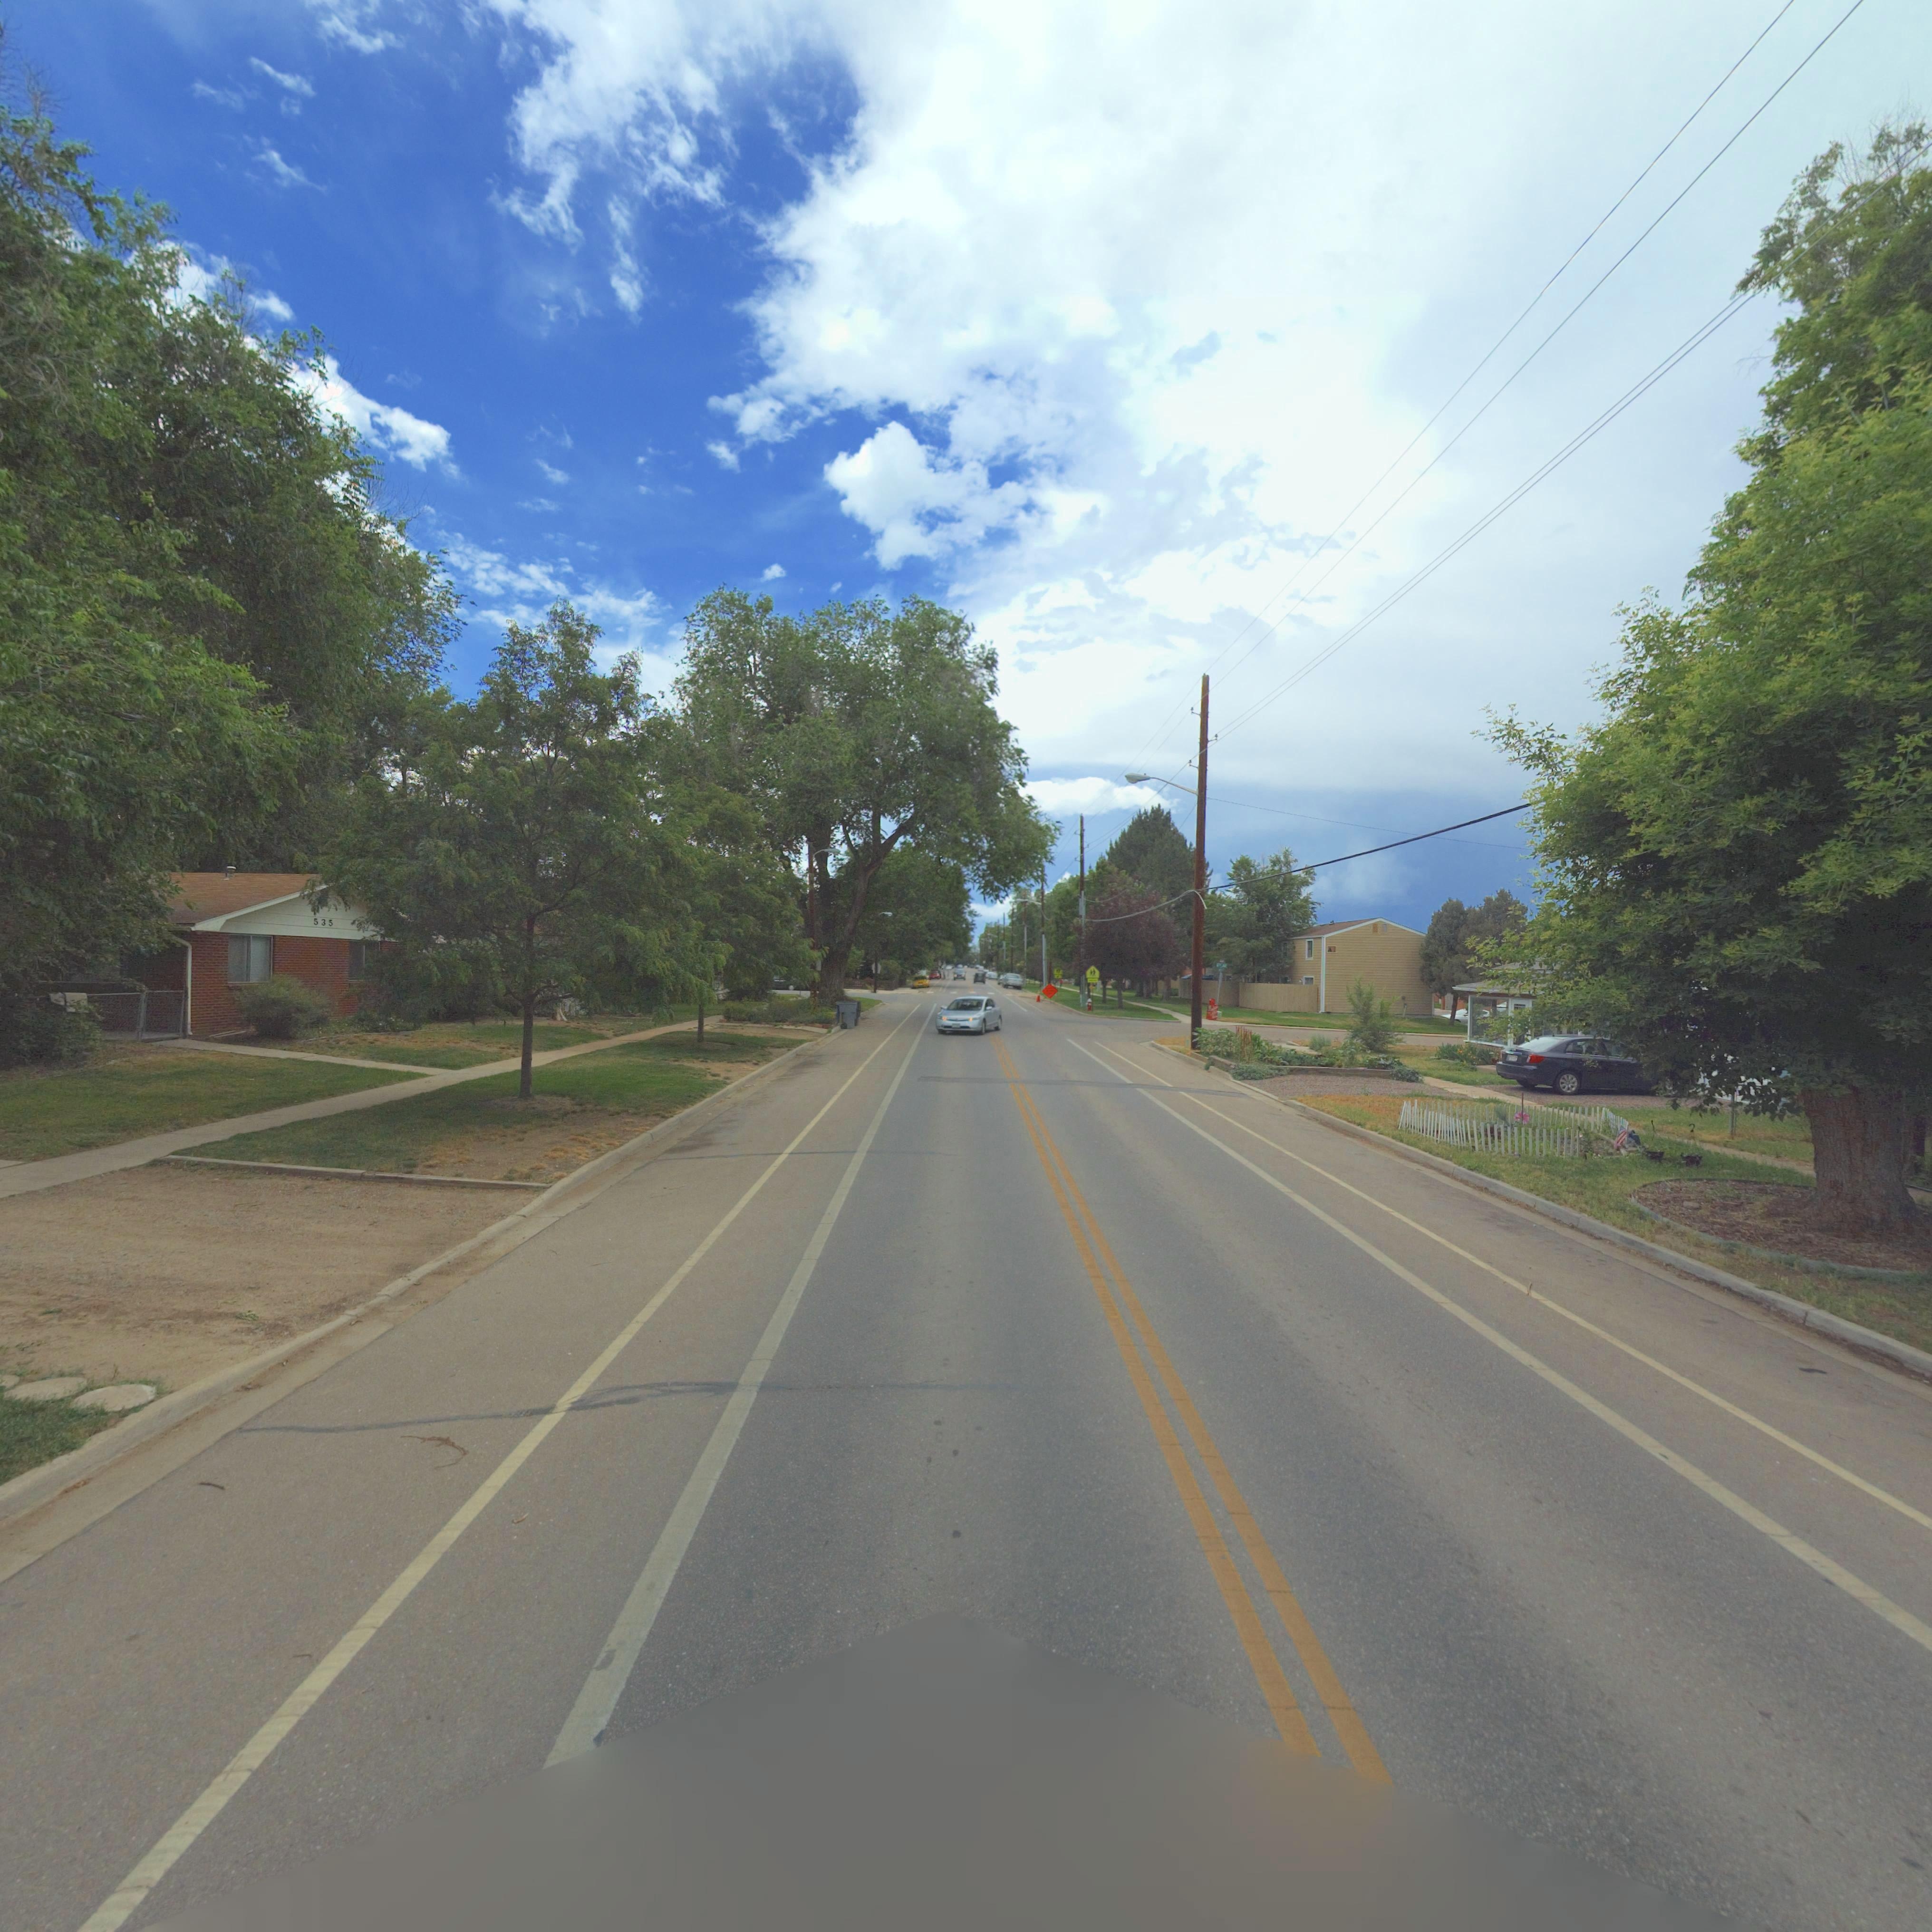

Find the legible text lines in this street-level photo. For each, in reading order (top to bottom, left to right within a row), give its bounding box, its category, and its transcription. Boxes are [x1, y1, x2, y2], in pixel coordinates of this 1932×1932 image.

[313, 918, 333, 926] StreetNumber: 535